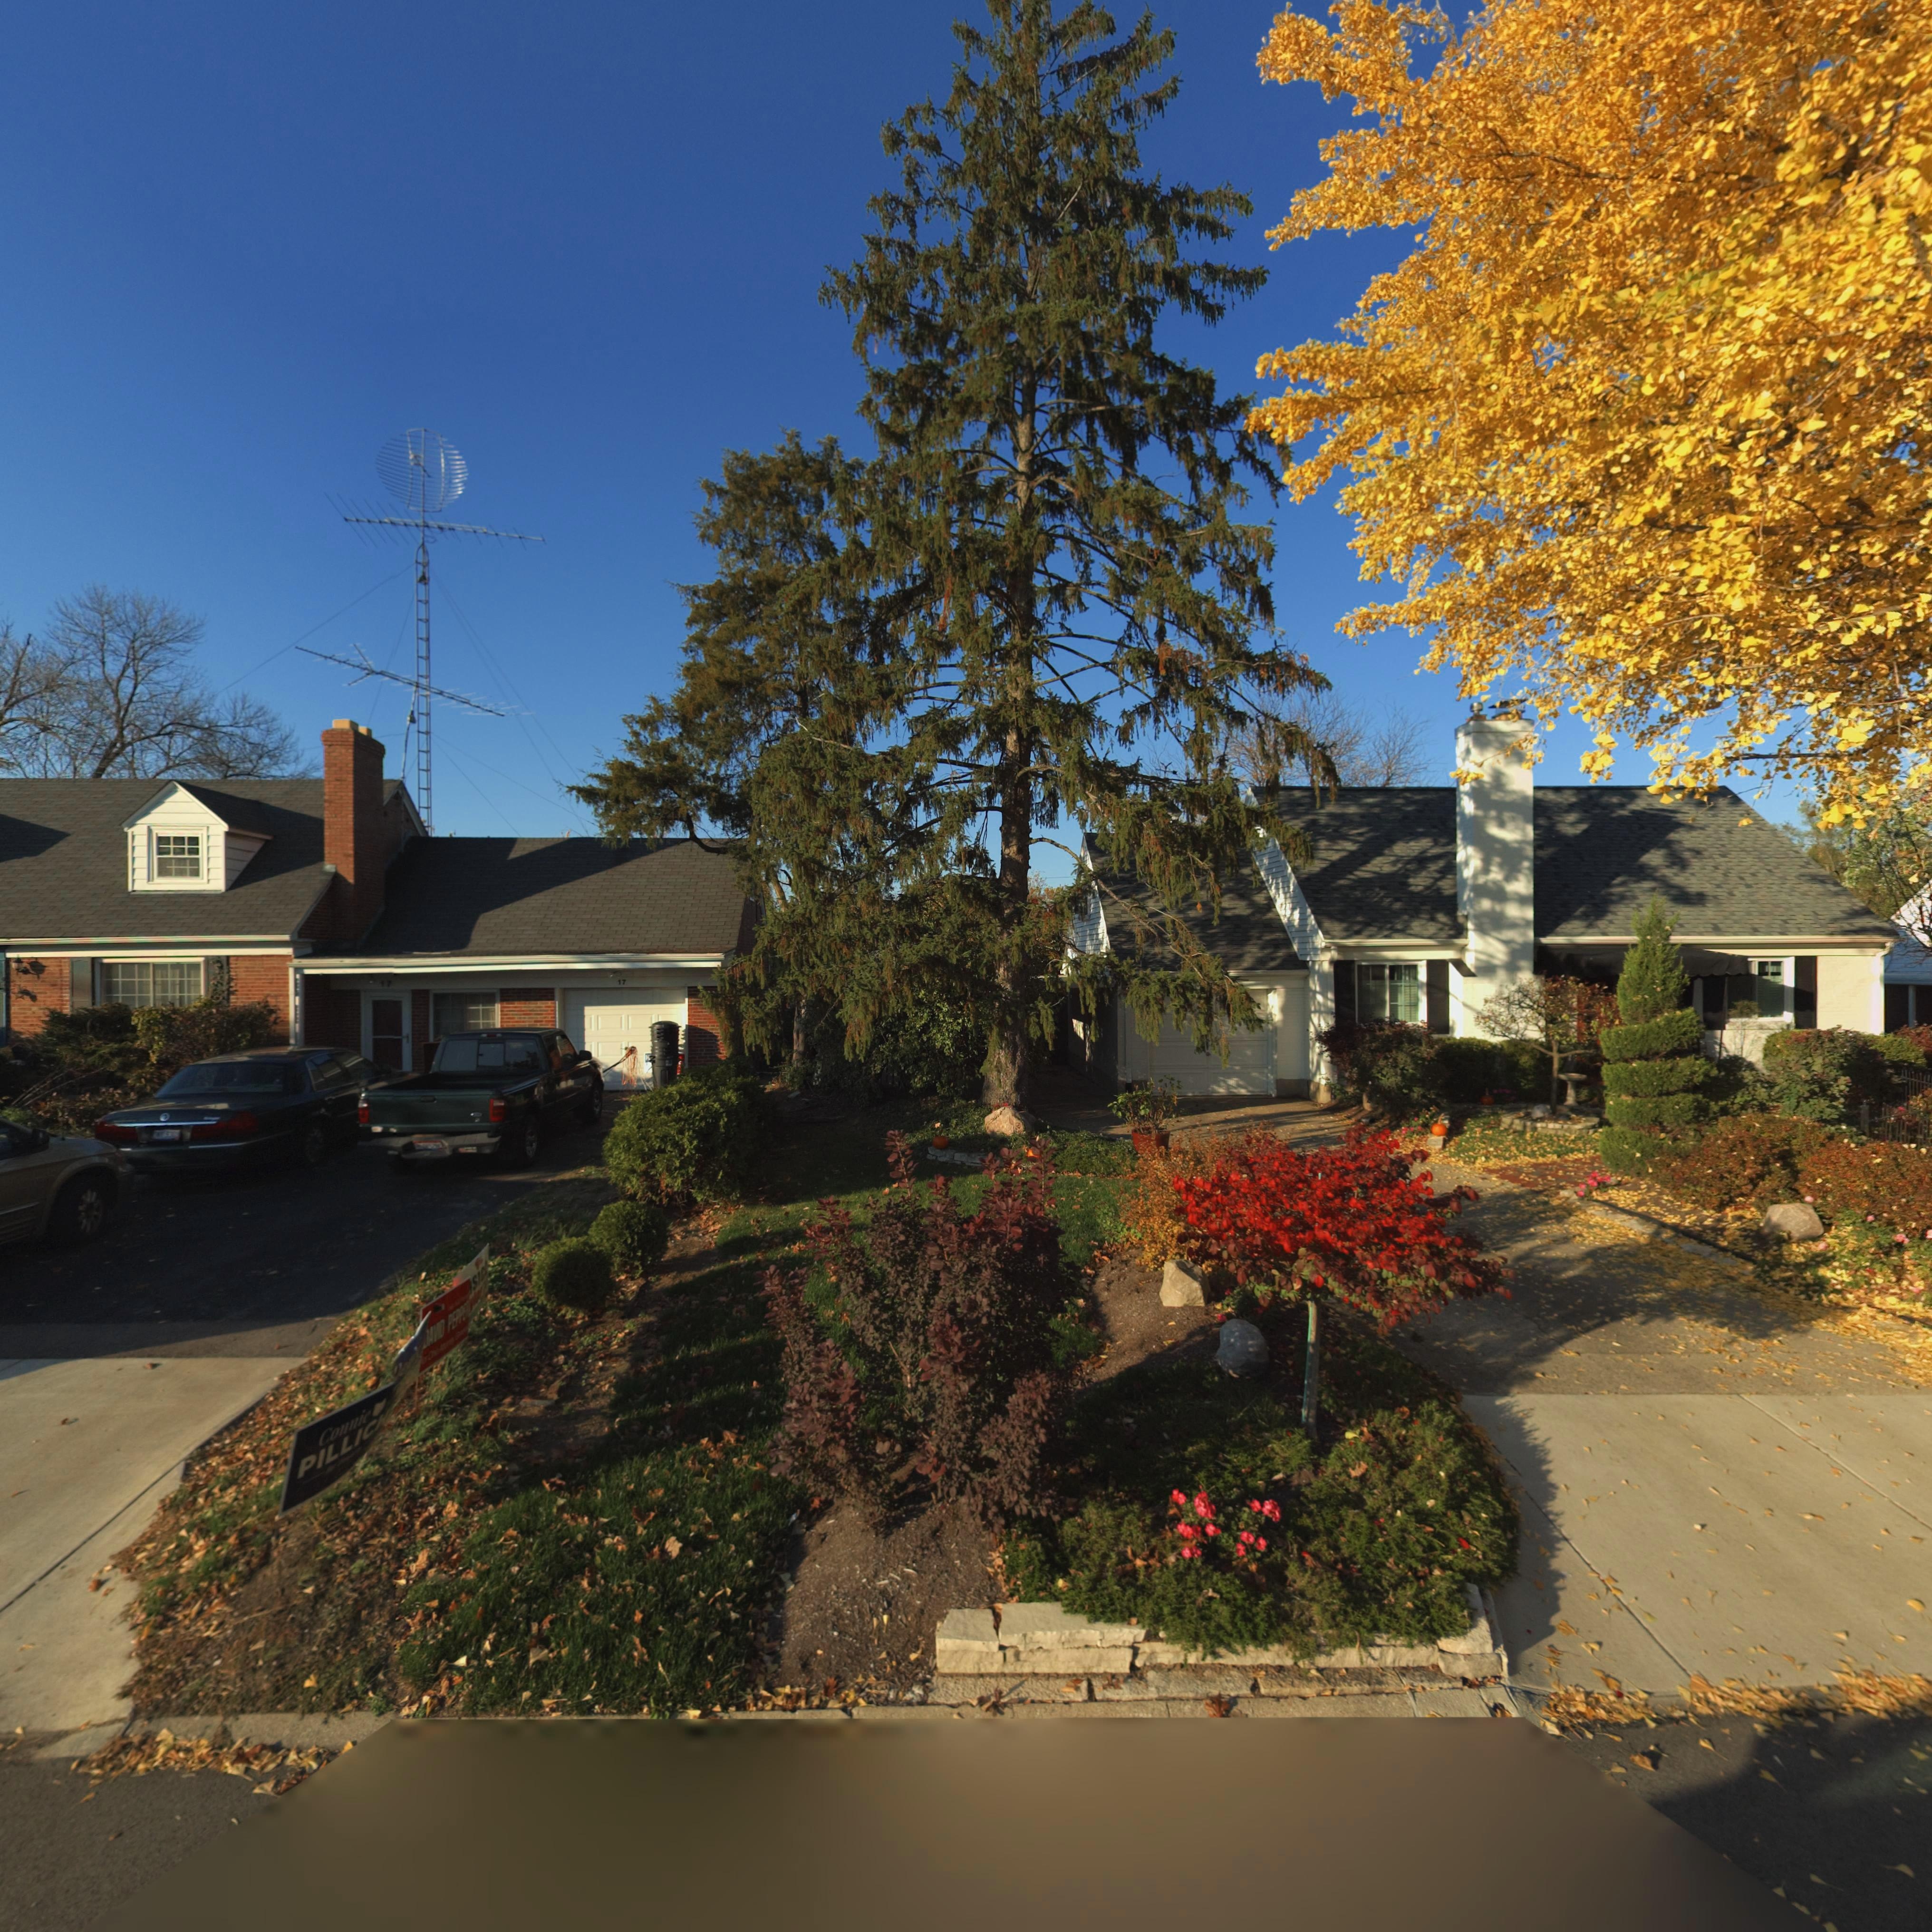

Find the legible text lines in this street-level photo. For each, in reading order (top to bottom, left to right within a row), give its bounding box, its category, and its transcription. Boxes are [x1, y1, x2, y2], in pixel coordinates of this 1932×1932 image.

[378, 979, 393, 988] StreetNumber: 17
[617, 978, 627, 985] StreetNumber: 17